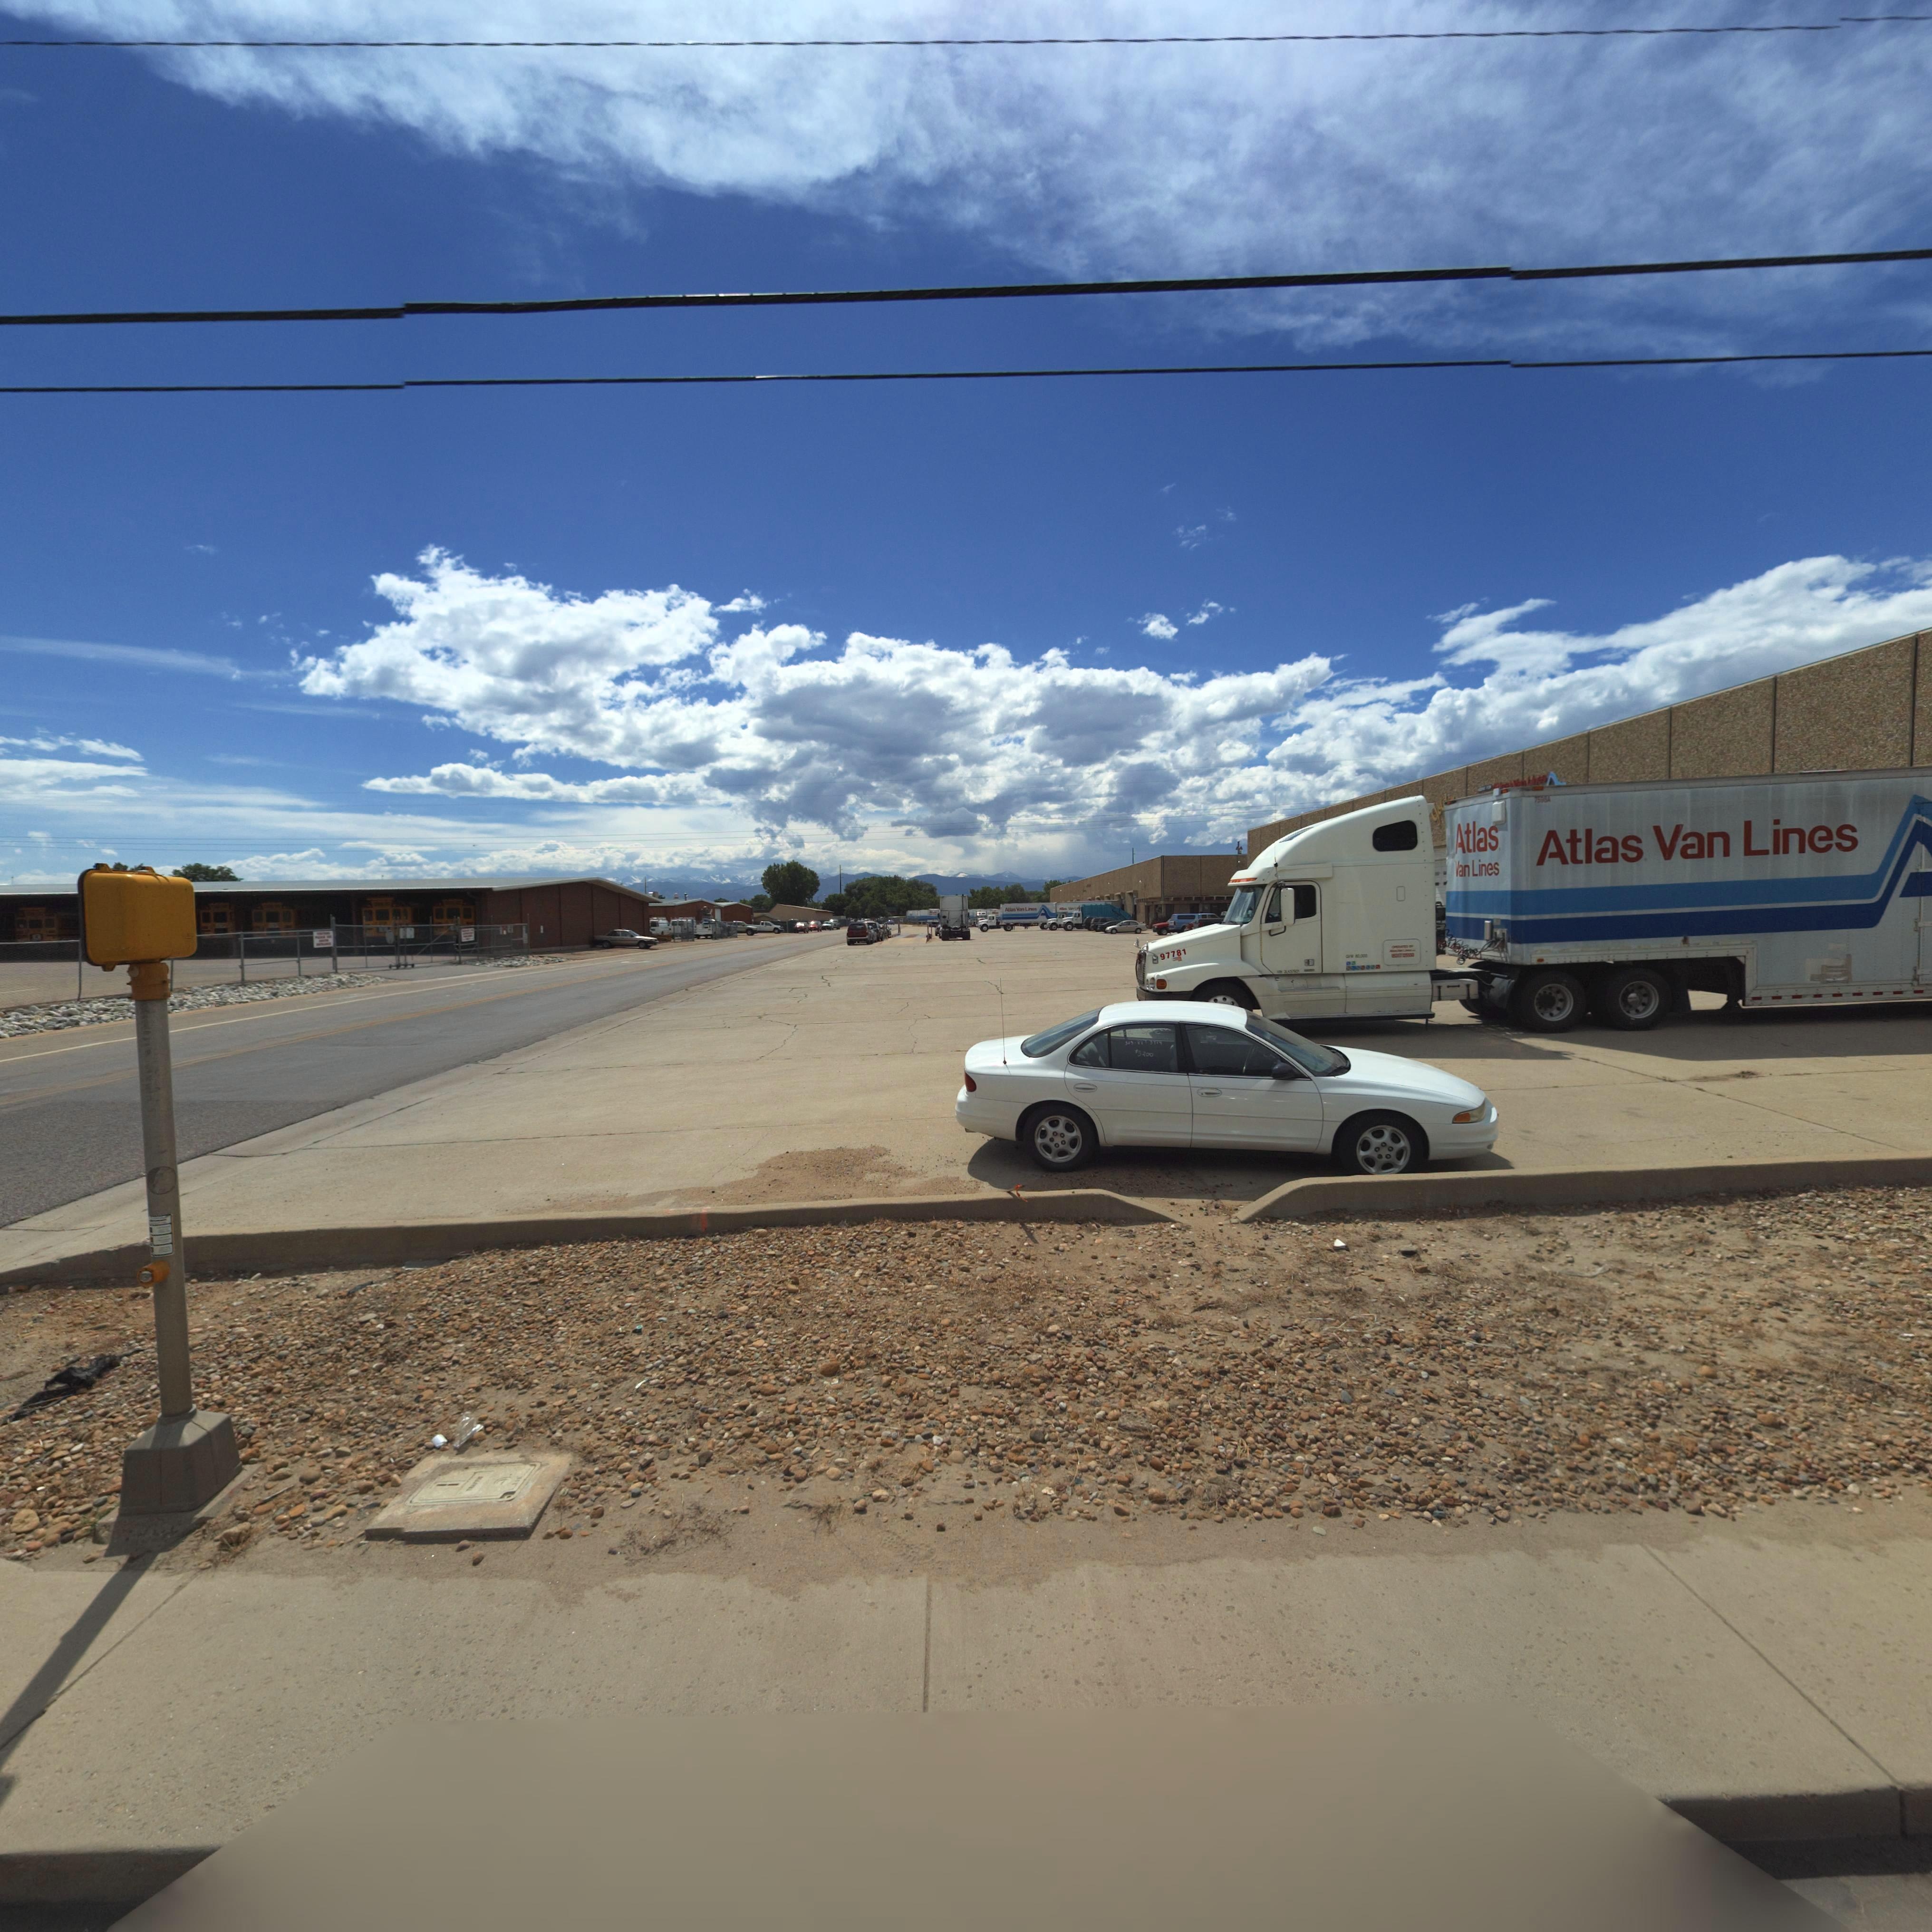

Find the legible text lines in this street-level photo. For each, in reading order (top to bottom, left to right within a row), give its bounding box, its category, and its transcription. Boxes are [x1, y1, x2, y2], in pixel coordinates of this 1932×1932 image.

[1493, 774, 1547, 789] BusinessName: ***** Van Lines
[1430, 792, 1455, 826] BusinessName: *ol****